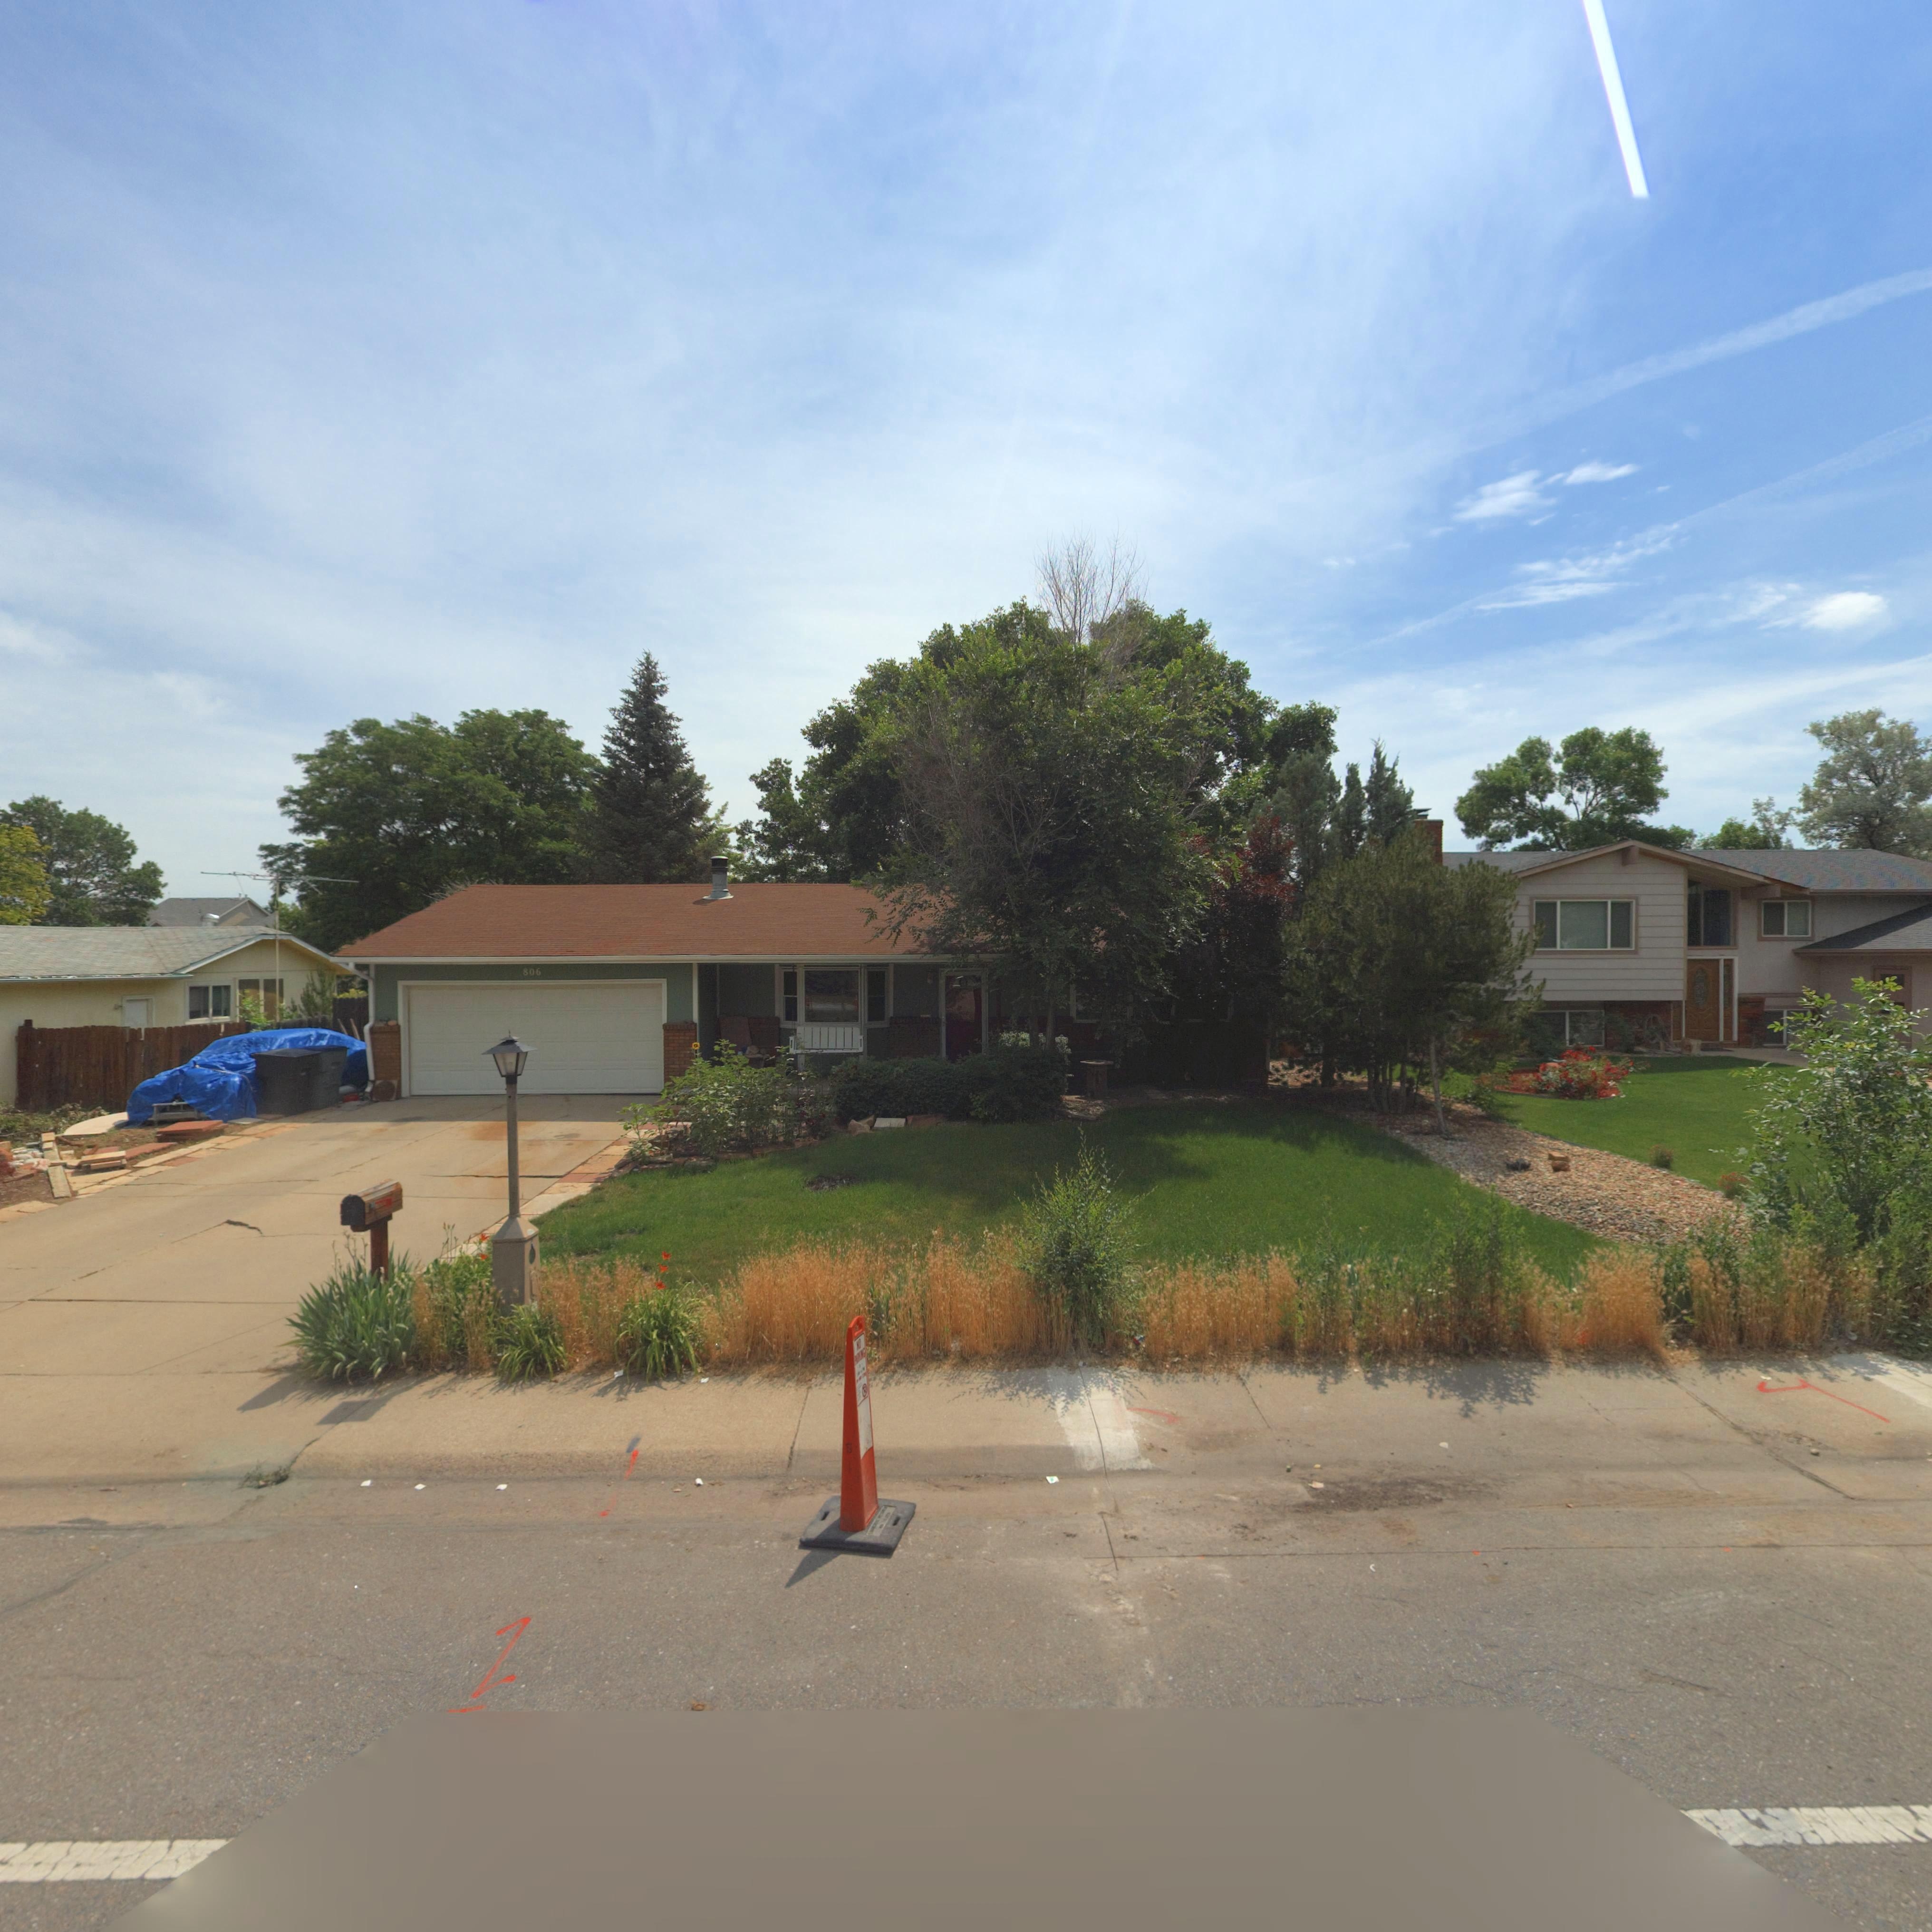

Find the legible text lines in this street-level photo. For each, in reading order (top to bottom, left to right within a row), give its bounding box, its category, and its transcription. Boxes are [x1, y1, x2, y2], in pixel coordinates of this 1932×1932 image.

[522, 967, 541, 976] StreetNumber: 806